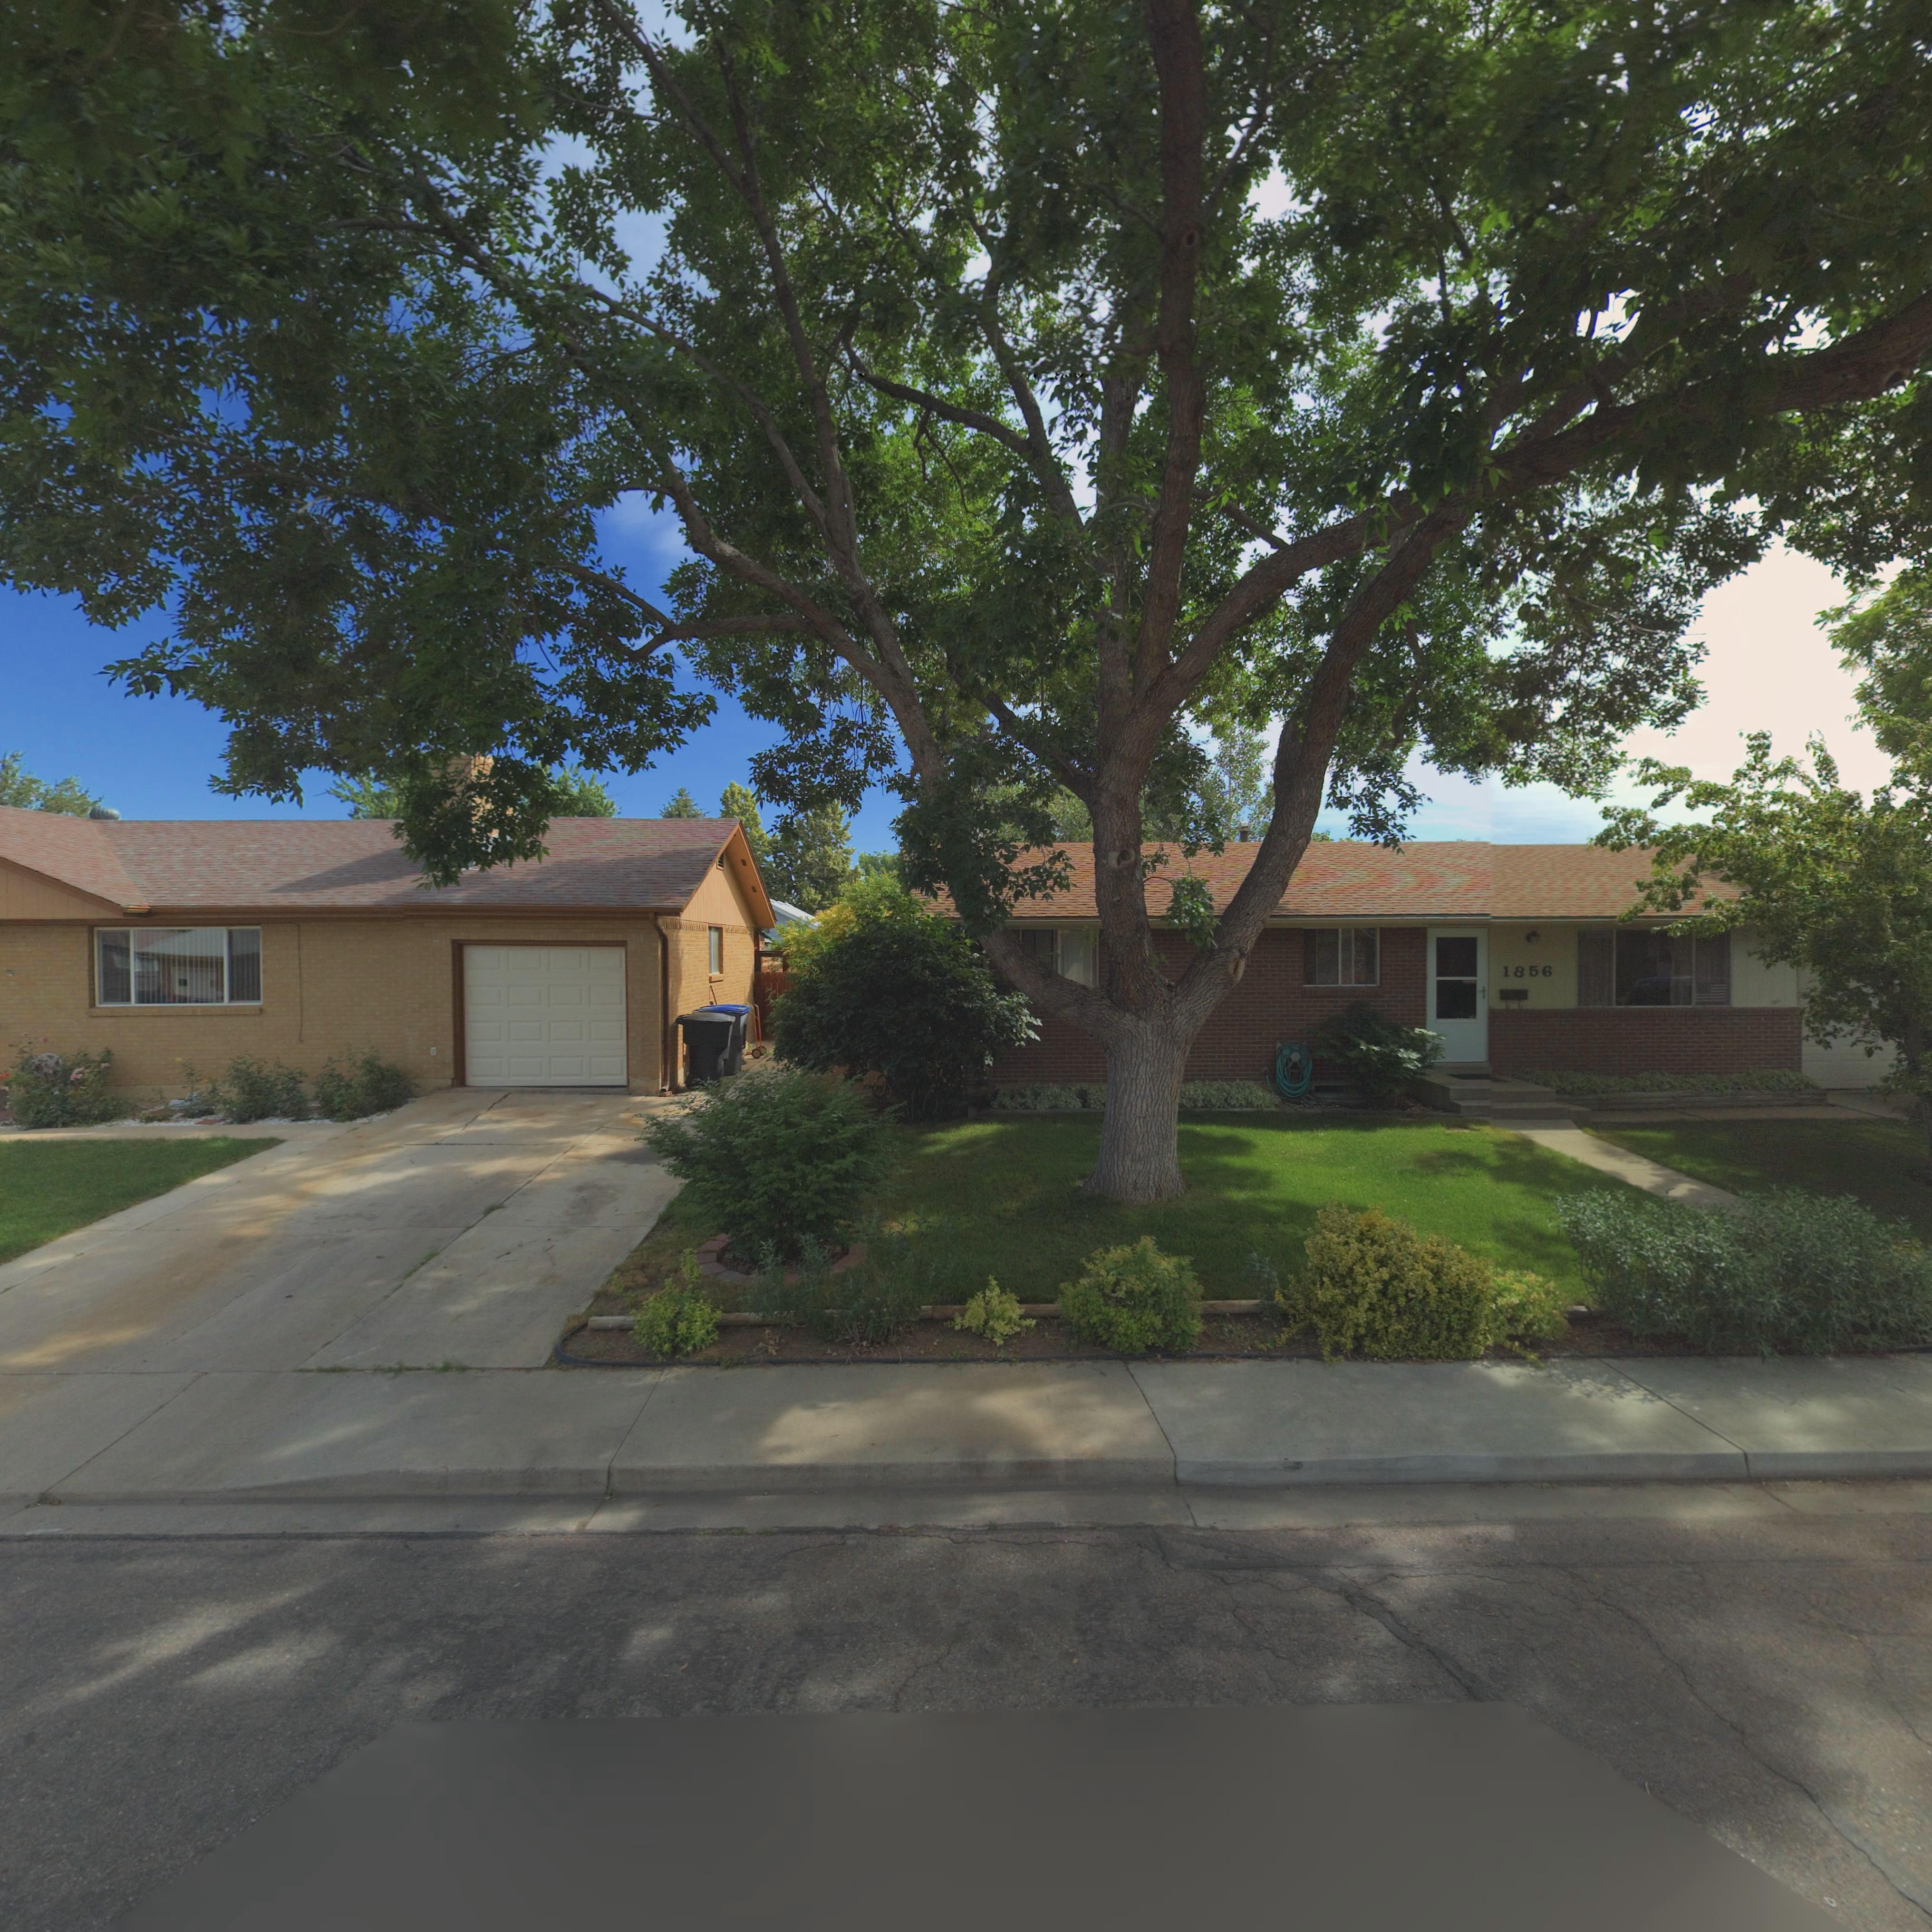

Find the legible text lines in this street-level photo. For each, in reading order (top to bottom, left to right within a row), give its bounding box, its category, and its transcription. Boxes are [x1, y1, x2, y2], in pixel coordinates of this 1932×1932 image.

[1502, 965, 1553, 977] StreetNumber: 1856